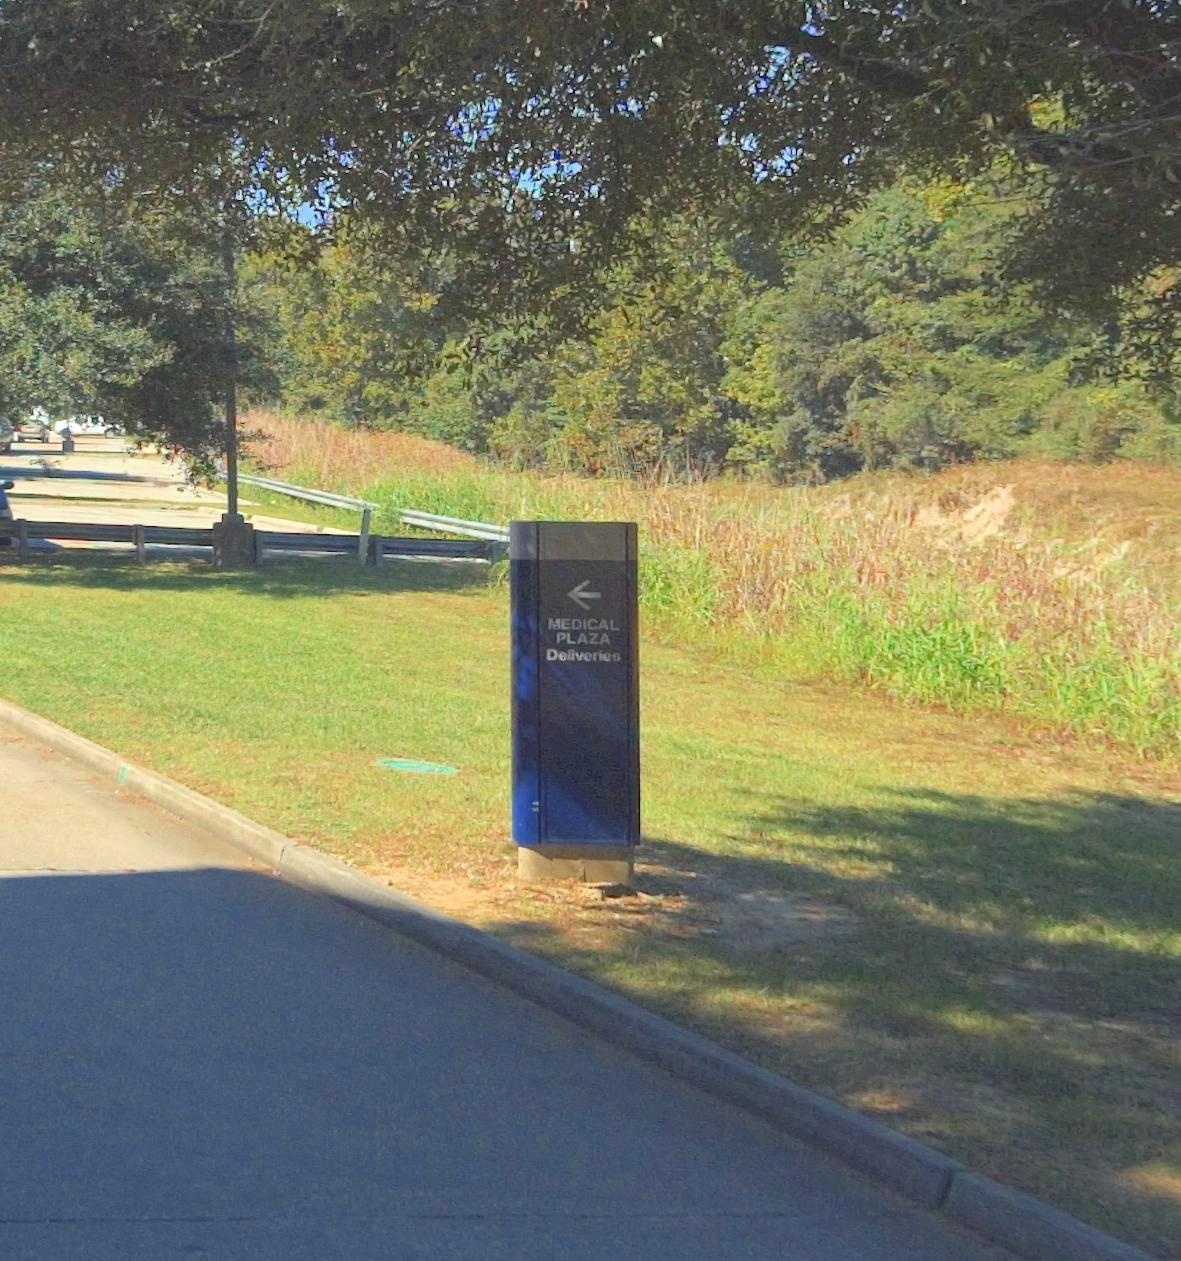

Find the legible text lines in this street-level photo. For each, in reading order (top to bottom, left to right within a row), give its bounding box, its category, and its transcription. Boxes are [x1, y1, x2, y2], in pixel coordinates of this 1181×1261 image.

[546, 617, 620, 632] None: MEDICAL
[555, 631, 612, 646] None: PLAZA
[545, 647, 623, 664] None: Deliveries